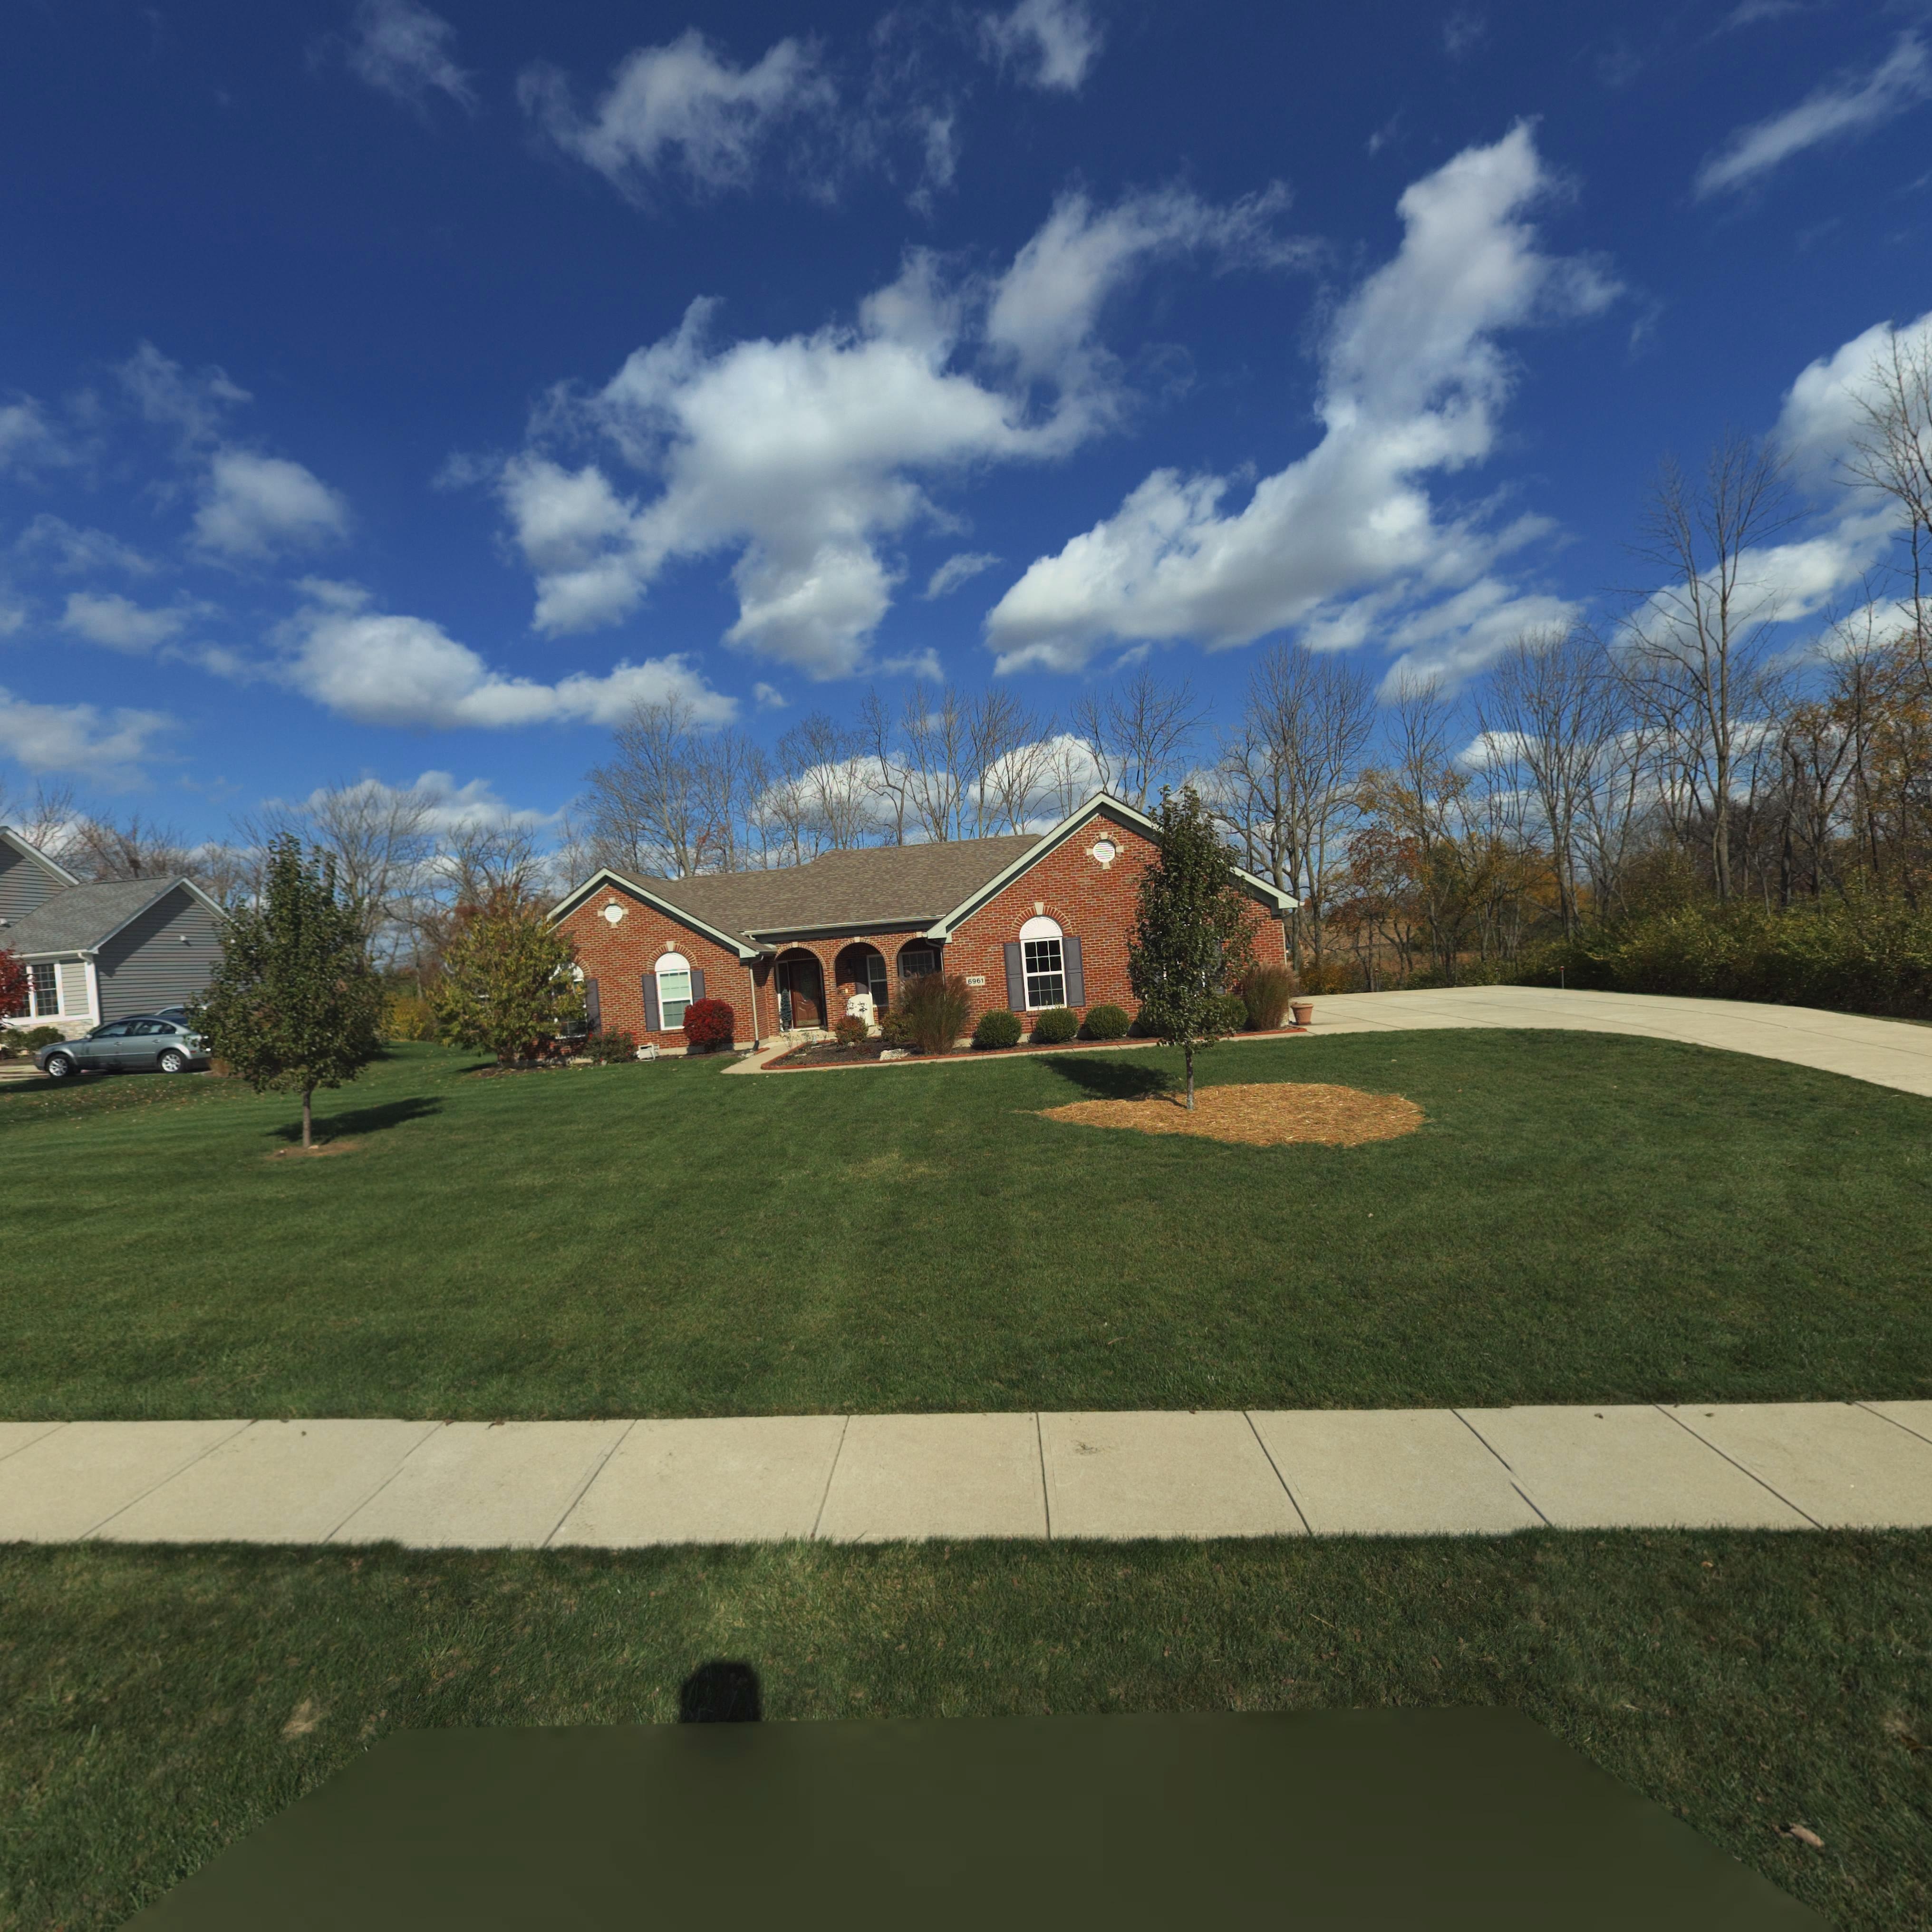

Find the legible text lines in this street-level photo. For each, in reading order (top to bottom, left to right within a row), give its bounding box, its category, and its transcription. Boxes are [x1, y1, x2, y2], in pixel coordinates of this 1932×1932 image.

[967, 977, 984, 985] StreetNumber: 6961